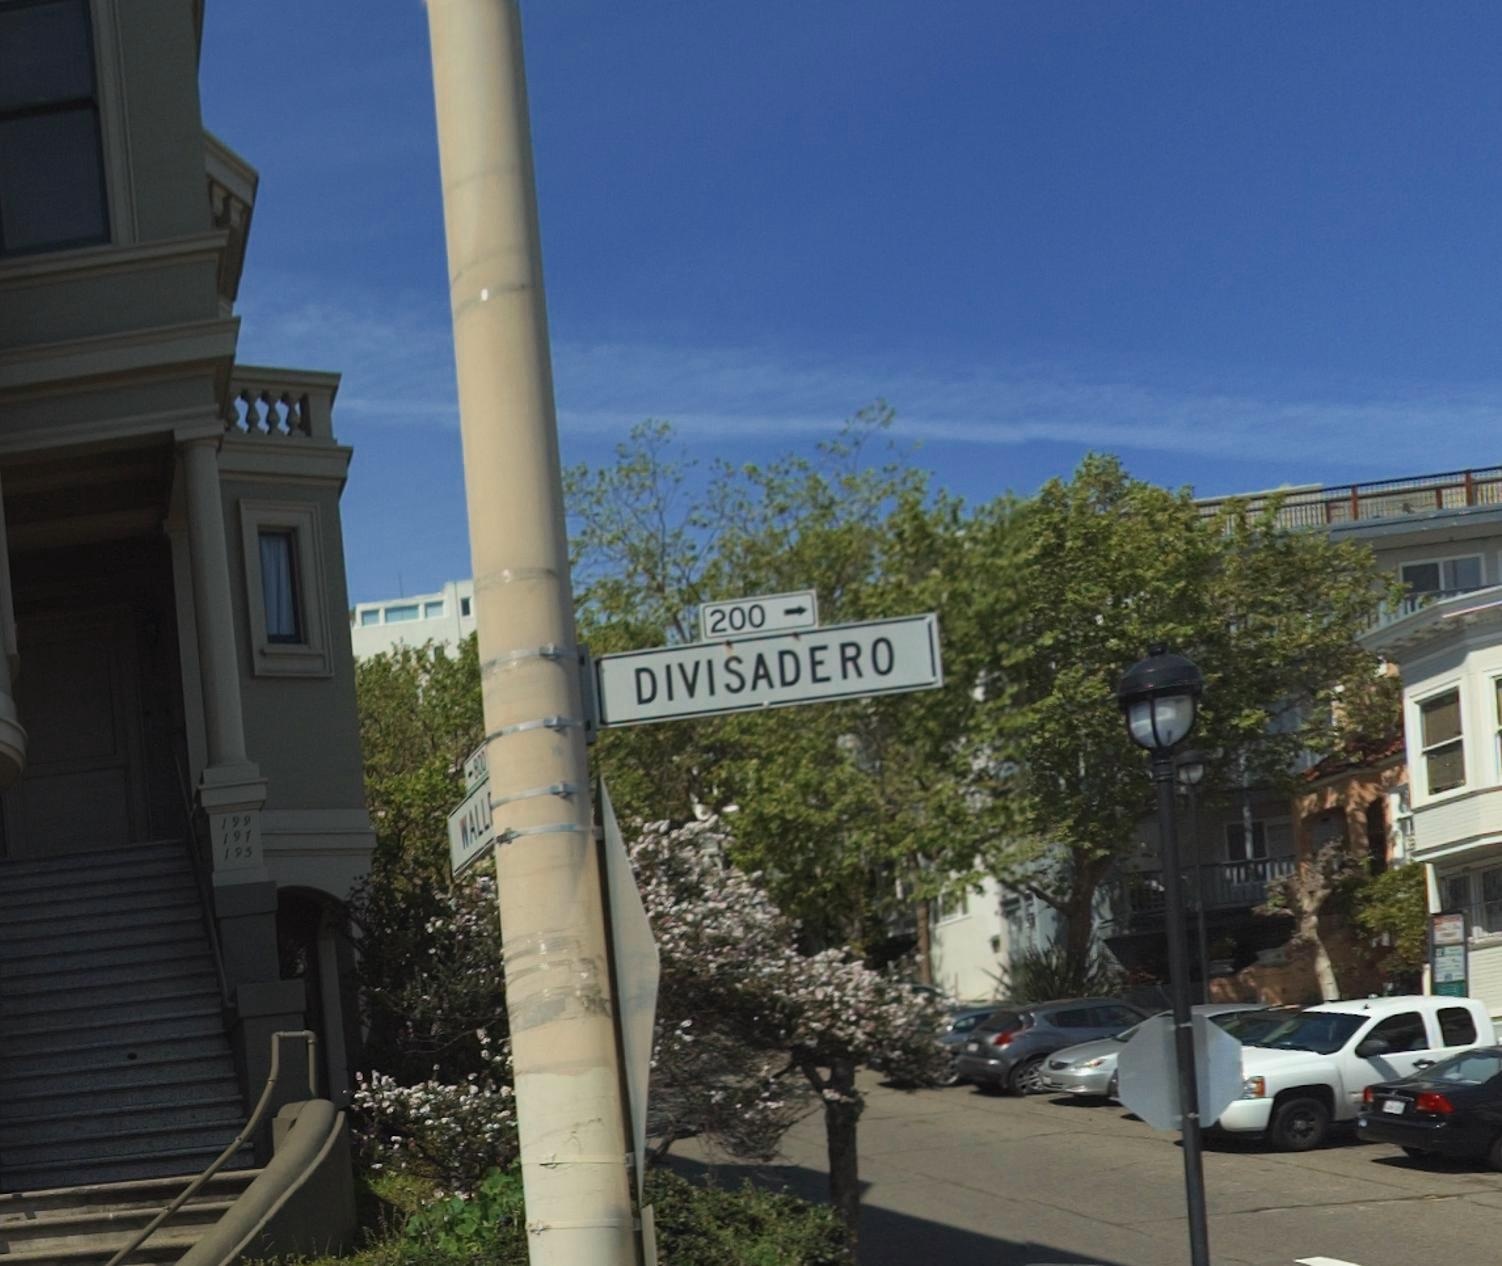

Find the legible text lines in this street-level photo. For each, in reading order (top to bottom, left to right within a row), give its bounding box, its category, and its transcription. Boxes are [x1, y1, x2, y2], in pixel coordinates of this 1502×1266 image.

[707, 594, 813, 636] StreetNumberRange: 200->
[630, 631, 900, 711] StreetName: DIVISADERO
[464, 747, 490, 791] None: <-800
[217, 812, 253, 831] None: 199
[220, 828, 255, 846] None: 197
[222, 844, 254, 860] None: 195
[456, 788, 497, 855] None: WALL*